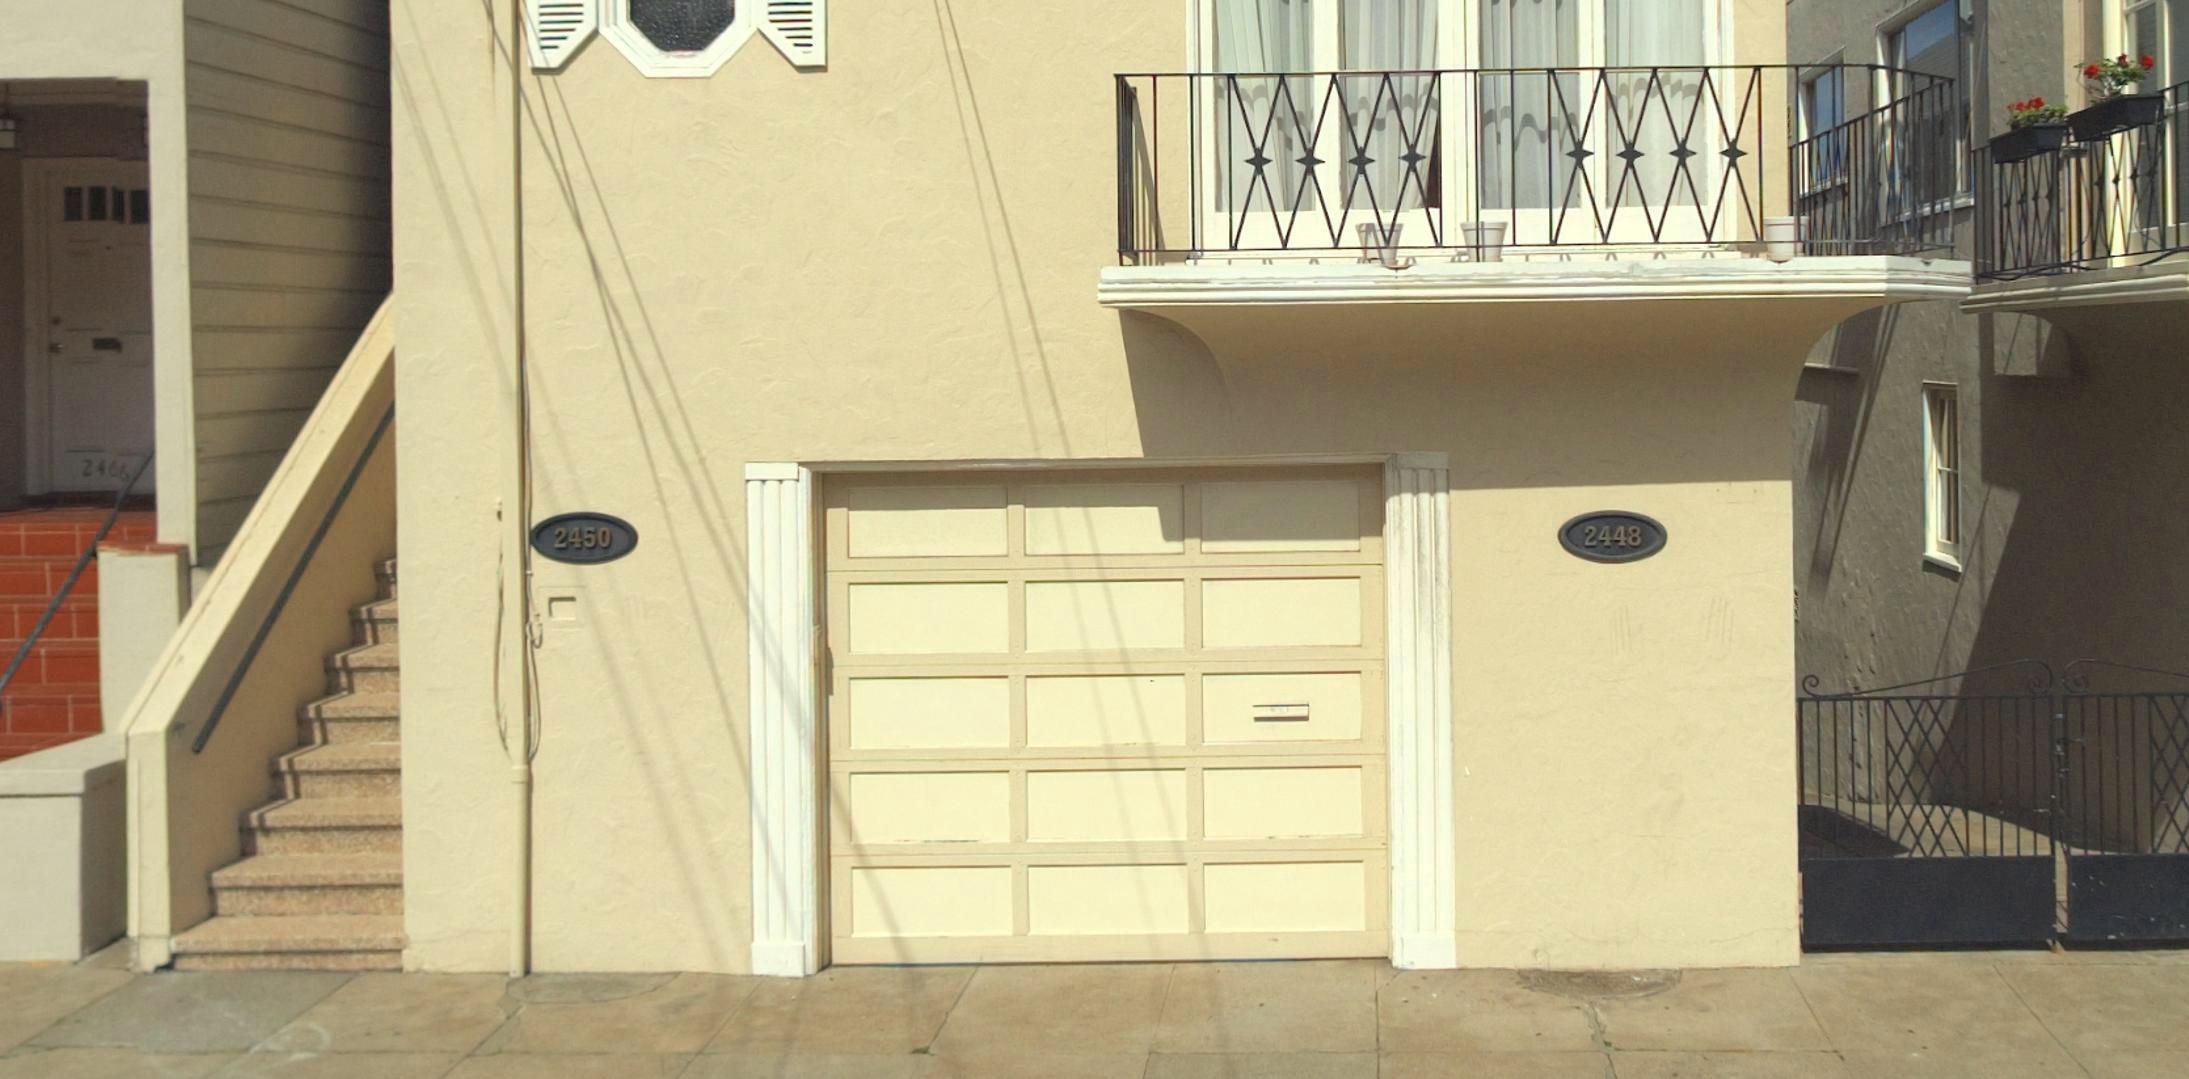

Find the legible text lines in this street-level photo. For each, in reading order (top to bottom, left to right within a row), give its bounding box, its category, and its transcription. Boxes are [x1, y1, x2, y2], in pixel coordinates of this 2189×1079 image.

[78, 456, 133, 484] StreetNumber: 2466
[552, 525, 612, 551] StreetNumber: 2450
[1581, 523, 1644, 549] StreetNumber: 2448